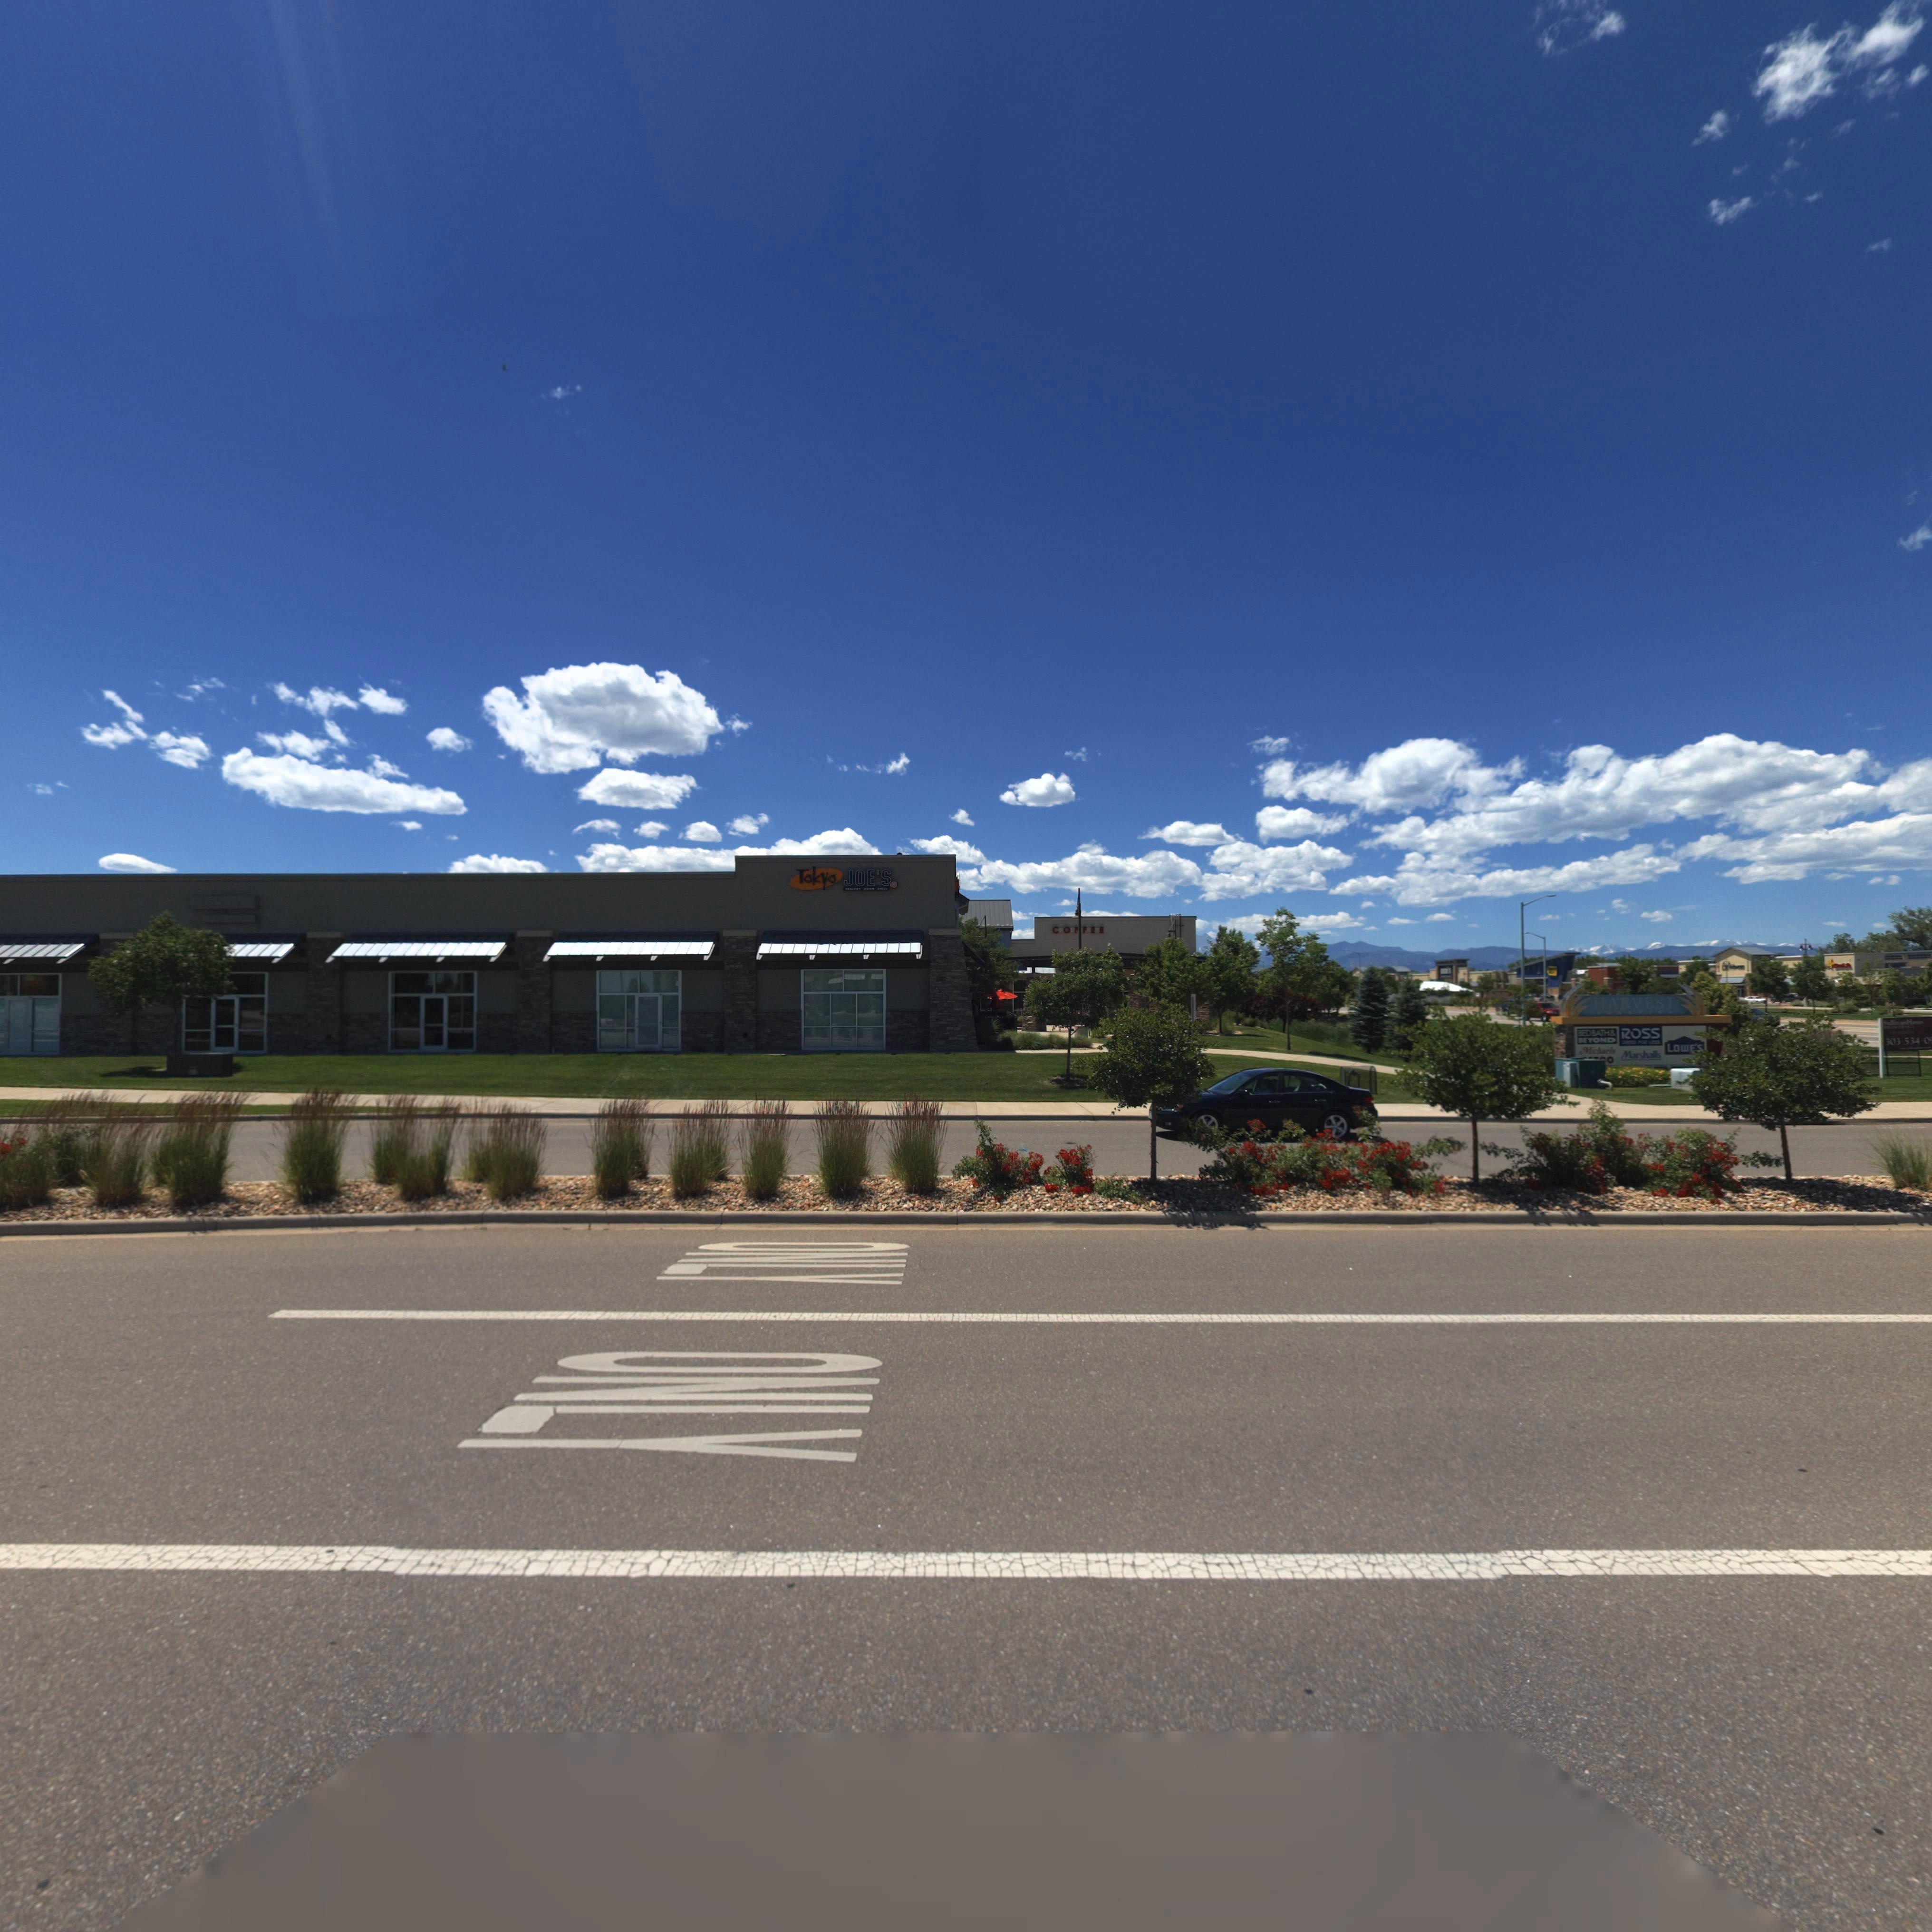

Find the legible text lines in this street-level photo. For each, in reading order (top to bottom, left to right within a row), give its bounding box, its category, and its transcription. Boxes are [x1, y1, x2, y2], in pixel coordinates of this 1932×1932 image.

[795, 865, 892, 890] BusinessName: Tokyo JOE'S
[1440, 966, 1451, 974] BusinessName: DICK*S
[1549, 970, 1555, 974] BusinessName: BUY
[1548, 967, 1556, 971] BusinessName: BEST
[1831, 962, 1851, 968] BusinessName: Carl's Jr.
[1577, 1029, 1615, 1036] BusinessName: BEDBATH&
[1620, 1027, 1661, 1039] BusinessName: ROSS
[1578, 1037, 1616, 1043] BusinessName: BEYOND
[1579, 1046, 1616, 1054] BusinessName: Michaels
[1667, 1043, 1703, 1052] BusinessName: LOWE'S
[1620, 1050, 1662, 1060] BusinessName: Marshalls